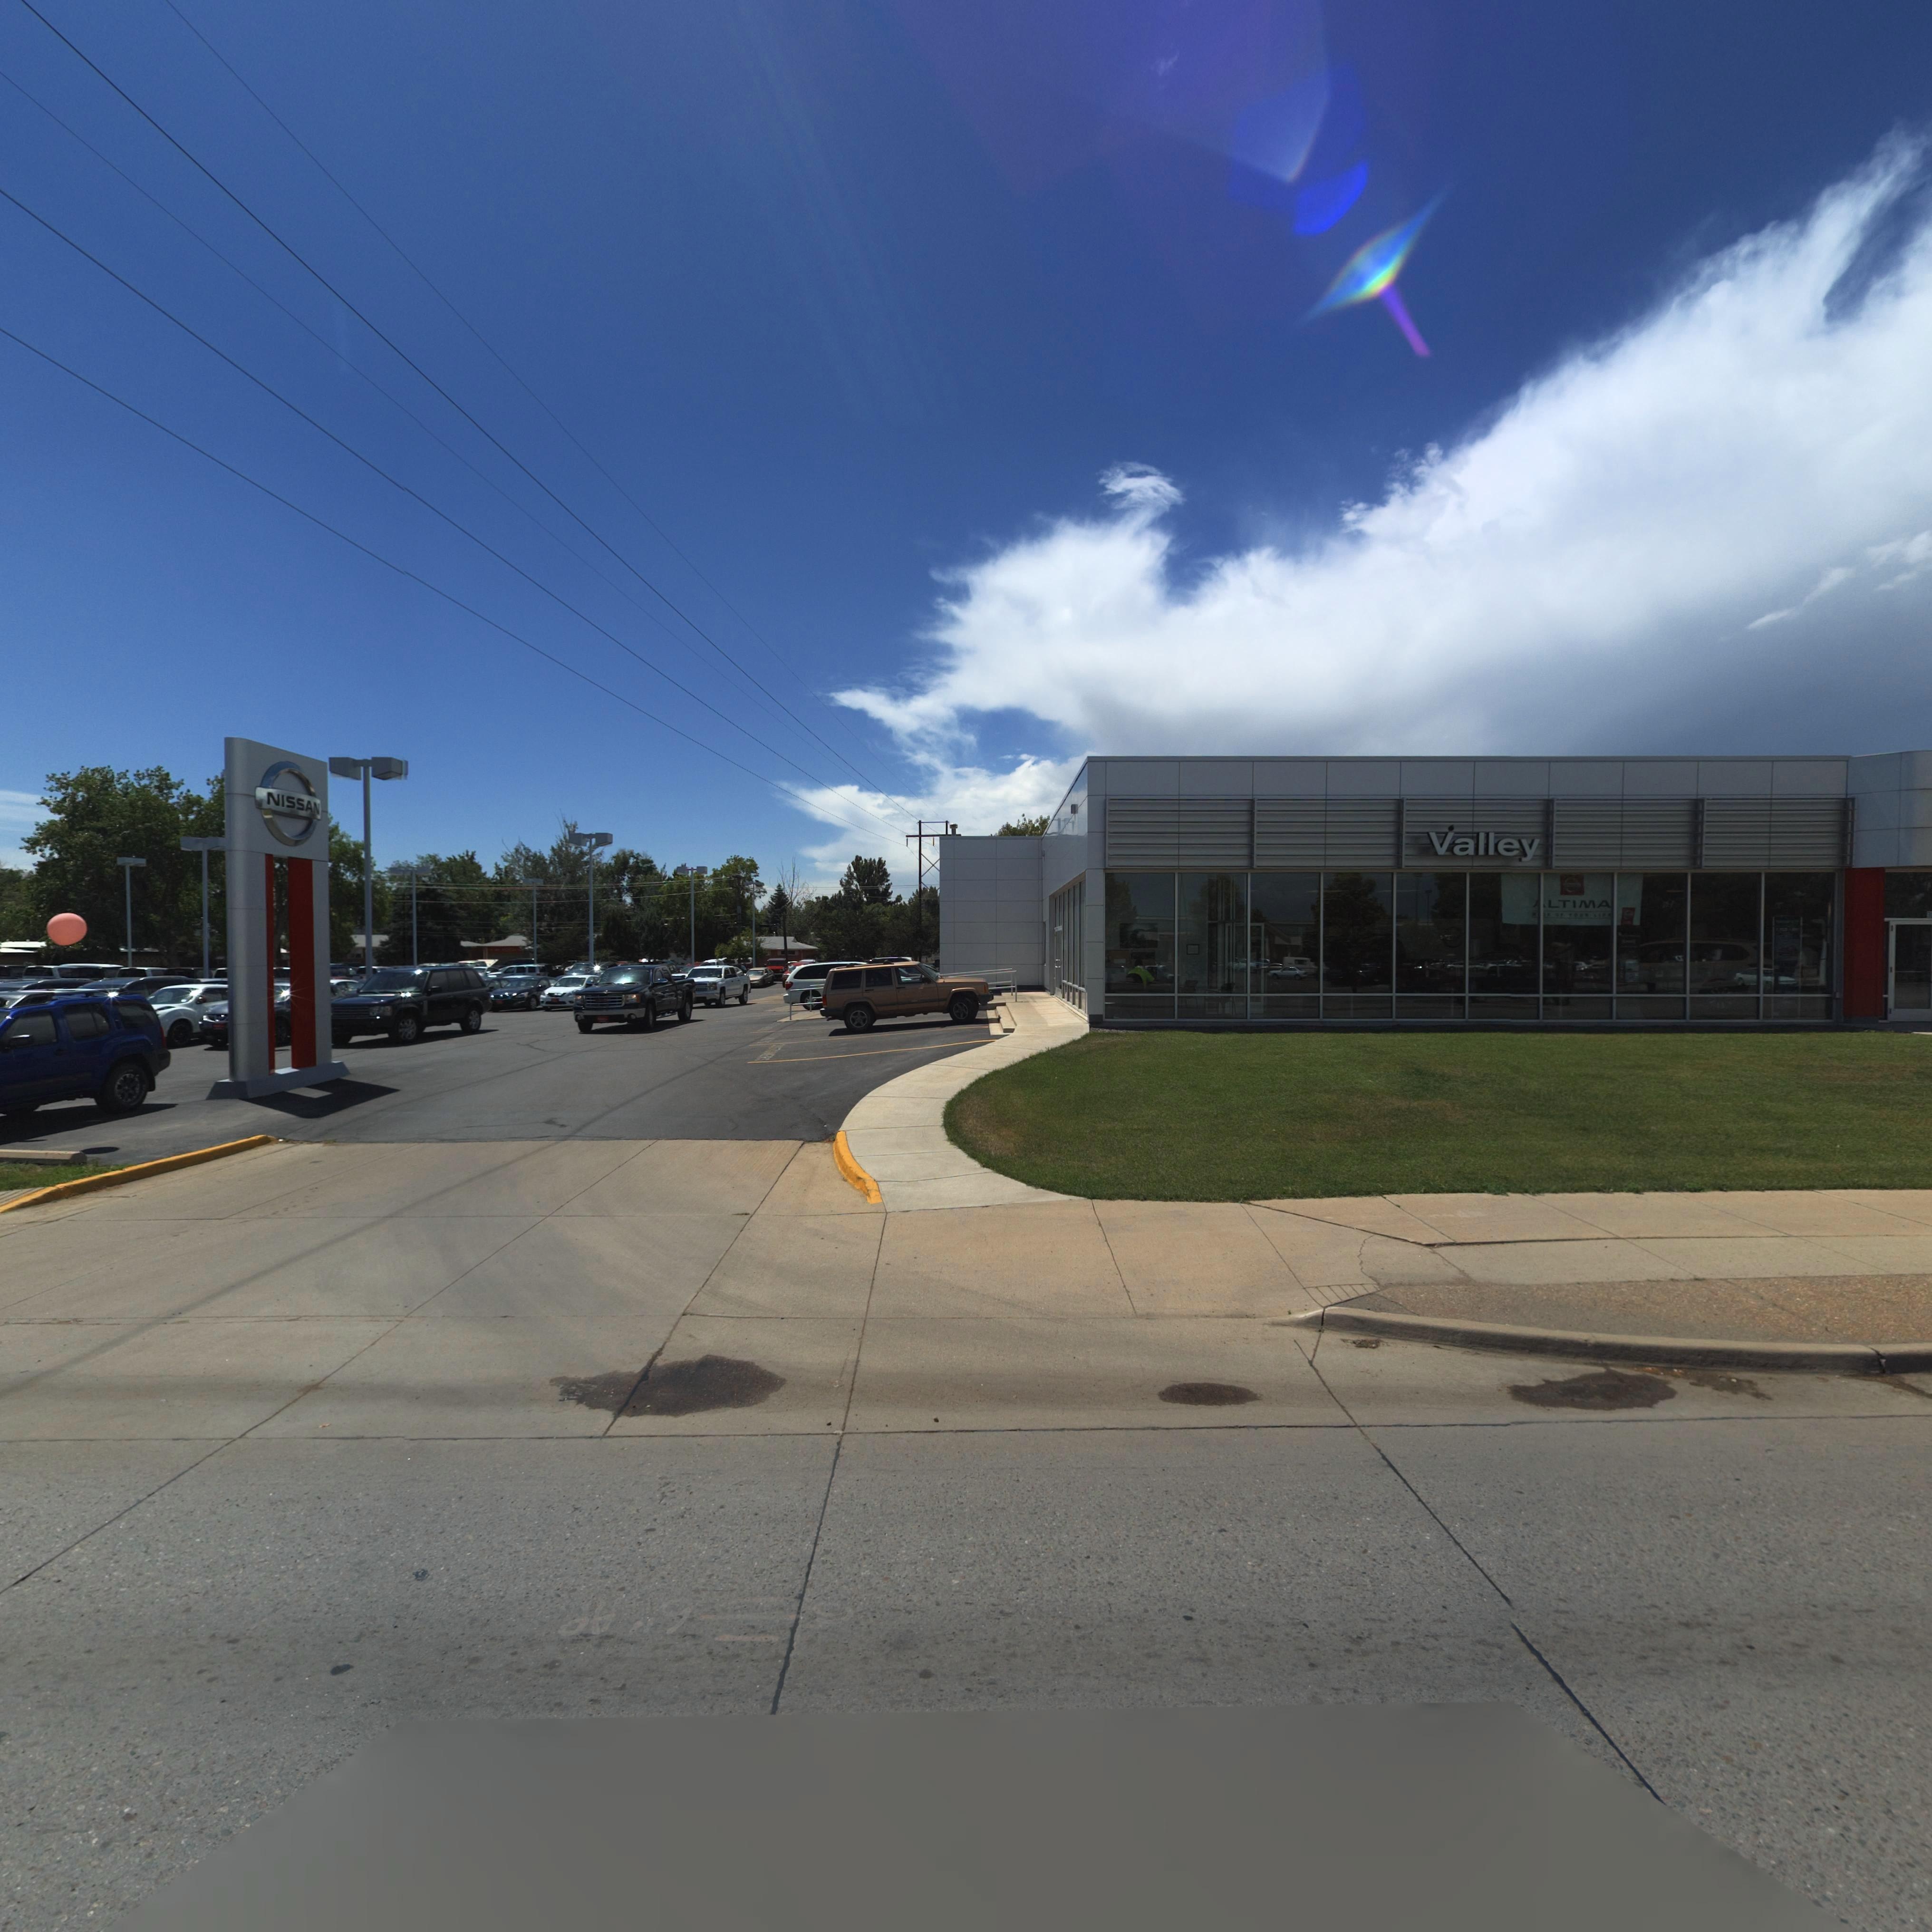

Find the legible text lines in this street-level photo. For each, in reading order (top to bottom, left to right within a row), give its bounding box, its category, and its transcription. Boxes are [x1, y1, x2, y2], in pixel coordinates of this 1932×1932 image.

[266, 790, 320, 816] BusinessName: NISSAN
[1427, 831, 1542, 863] BusinessName: Valley
[1927, 911, 1930, 917] StreetNumber: 1